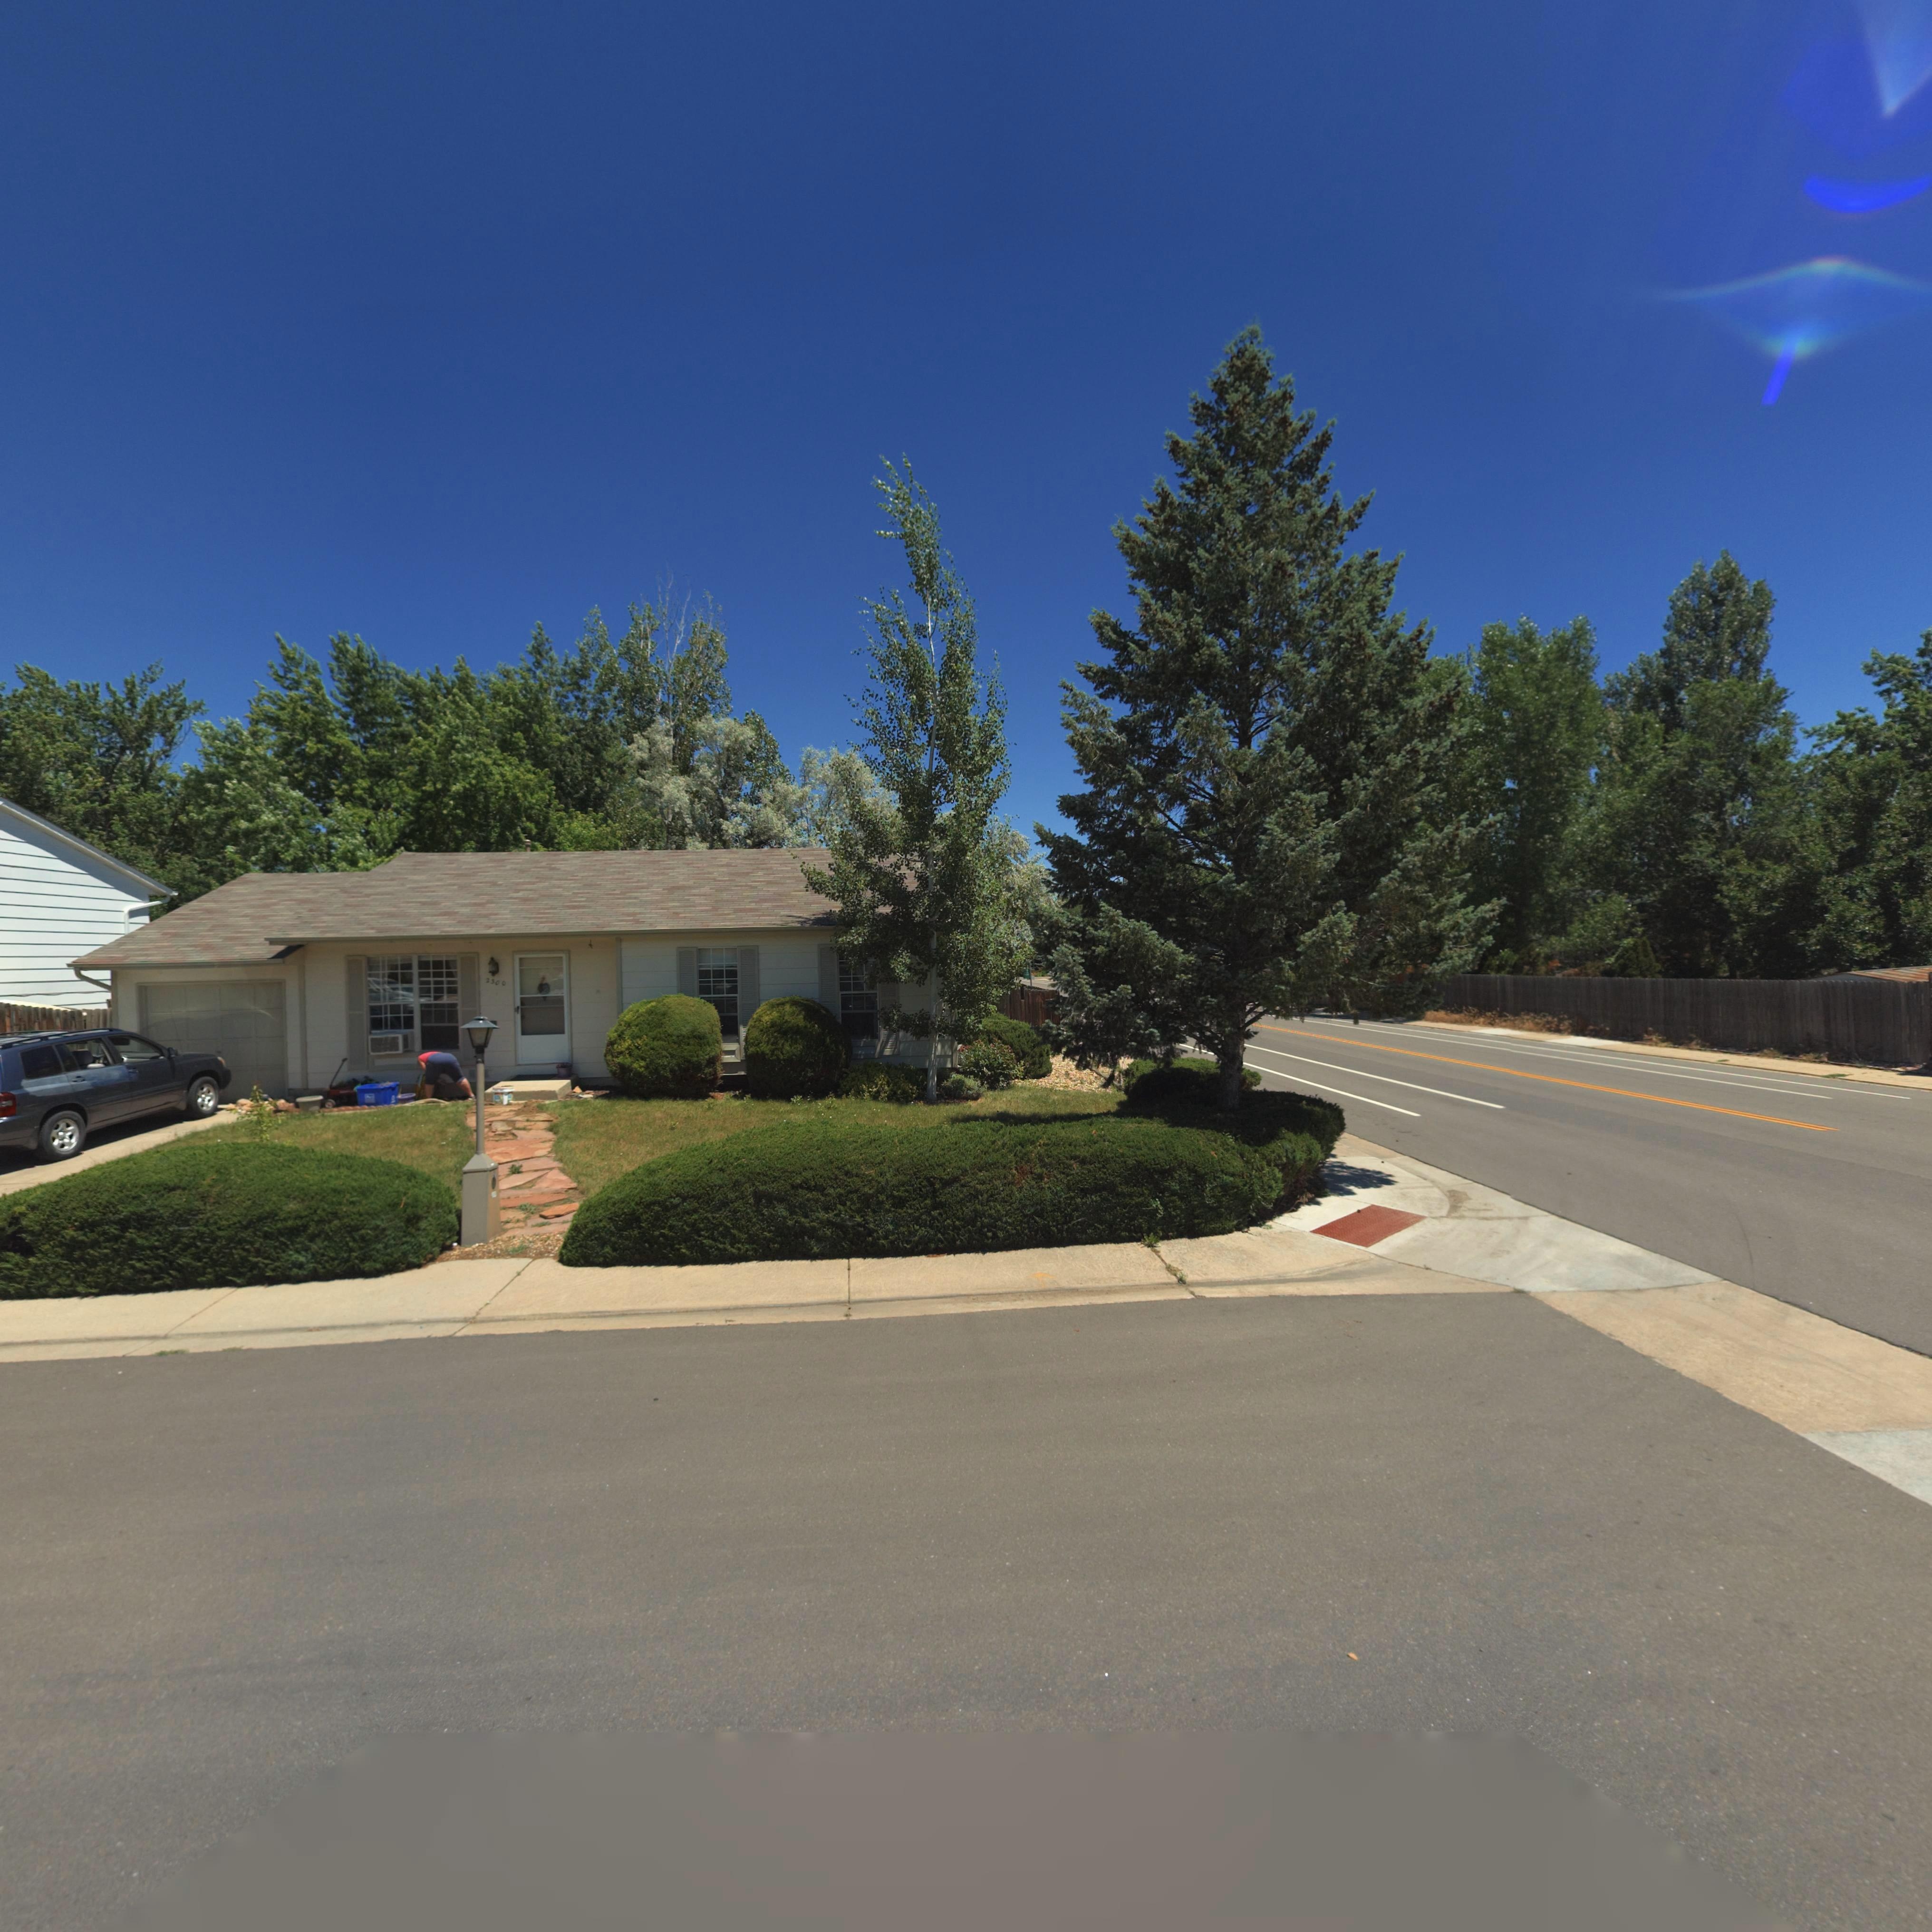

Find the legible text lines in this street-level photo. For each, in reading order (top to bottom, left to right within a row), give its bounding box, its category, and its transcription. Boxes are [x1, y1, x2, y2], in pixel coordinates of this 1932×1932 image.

[485, 977, 506, 986] StreetNumber: 2300